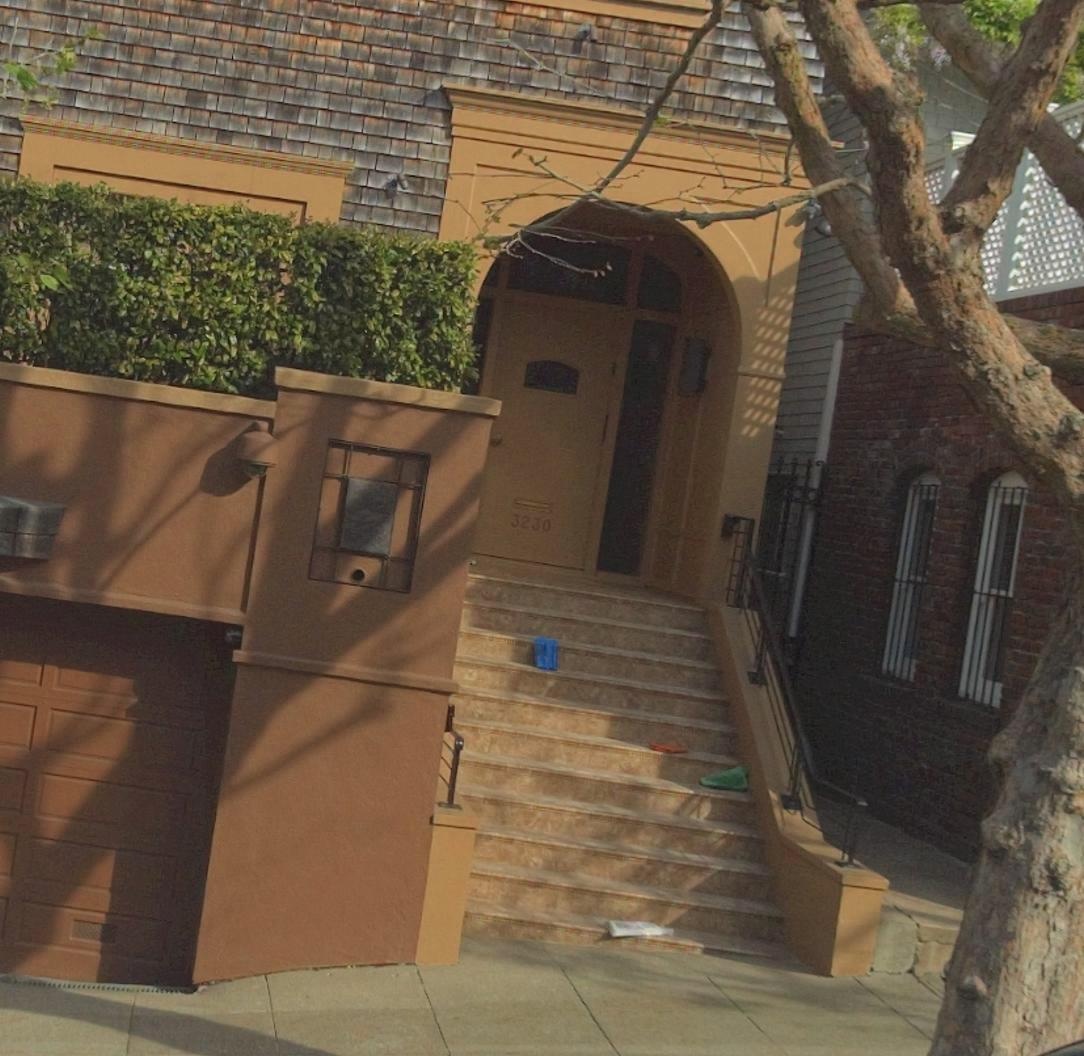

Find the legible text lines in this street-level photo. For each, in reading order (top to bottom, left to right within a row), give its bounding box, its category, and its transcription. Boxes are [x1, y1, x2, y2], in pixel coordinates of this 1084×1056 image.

[507, 510, 554, 536] StreetNumber: 3230